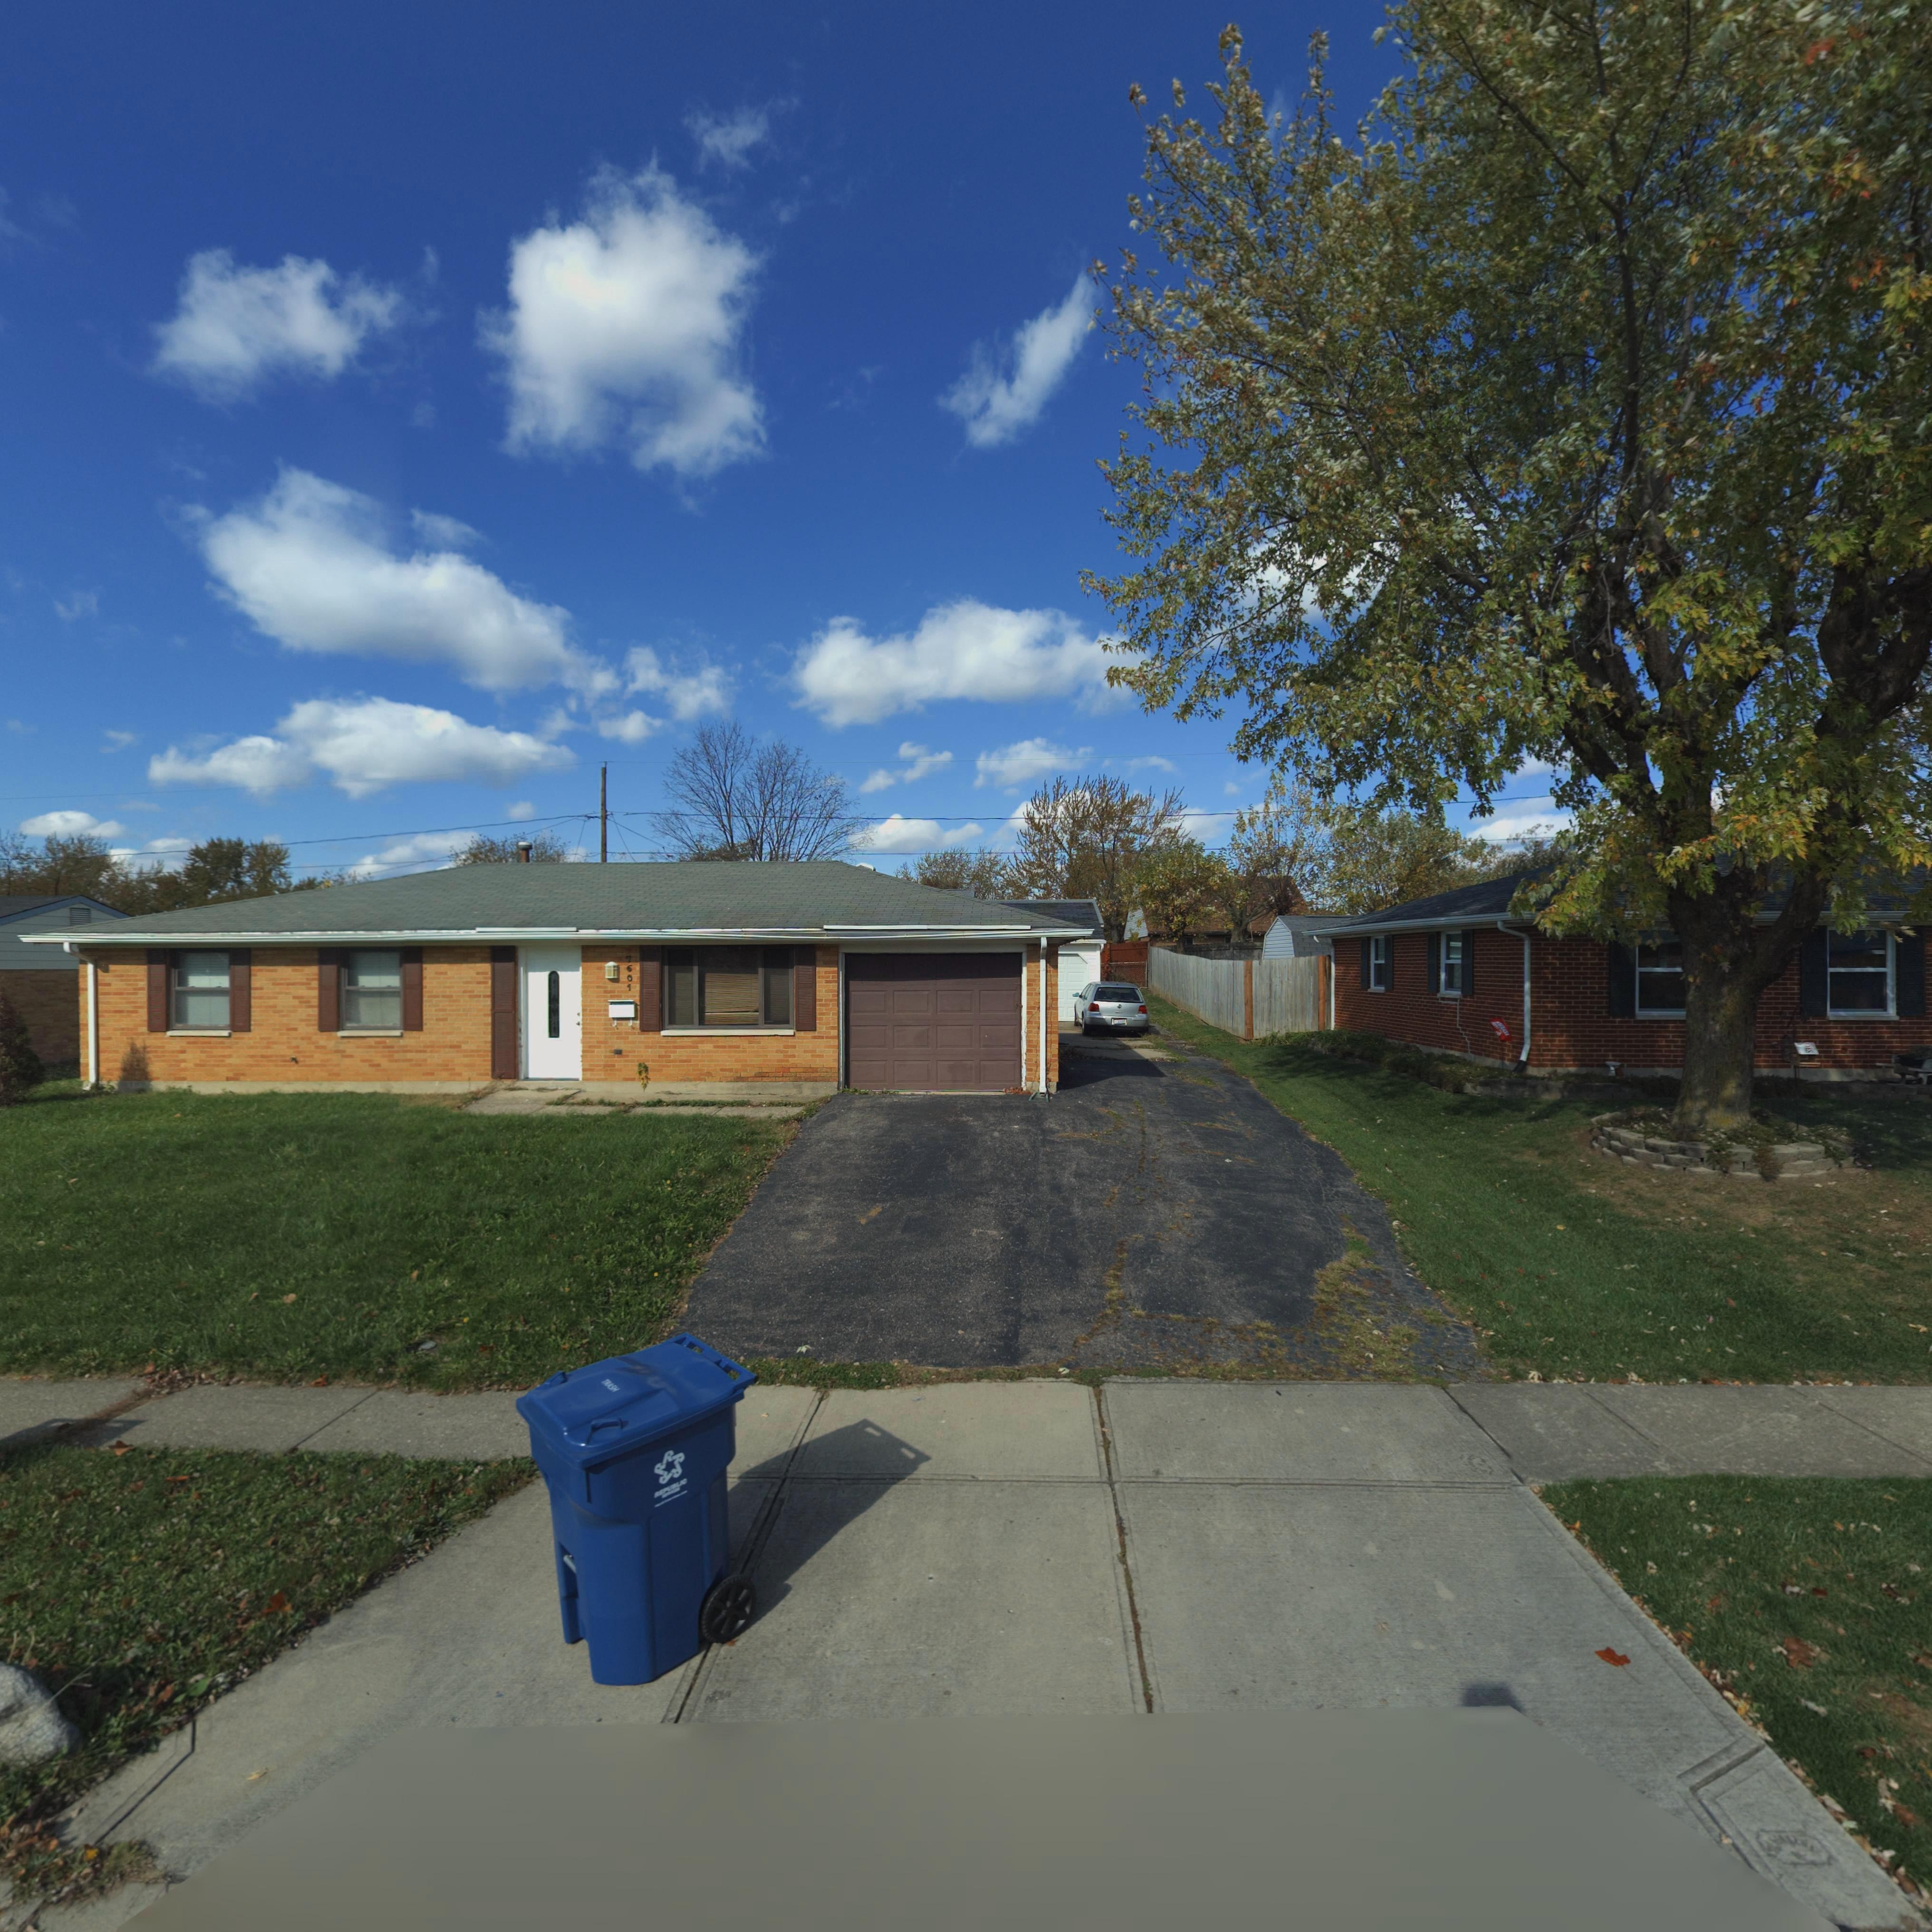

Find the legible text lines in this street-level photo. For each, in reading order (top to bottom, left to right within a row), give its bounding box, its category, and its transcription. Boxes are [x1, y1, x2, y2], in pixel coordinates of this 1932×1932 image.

[626, 955, 632, 991] StreetNumber: 7601